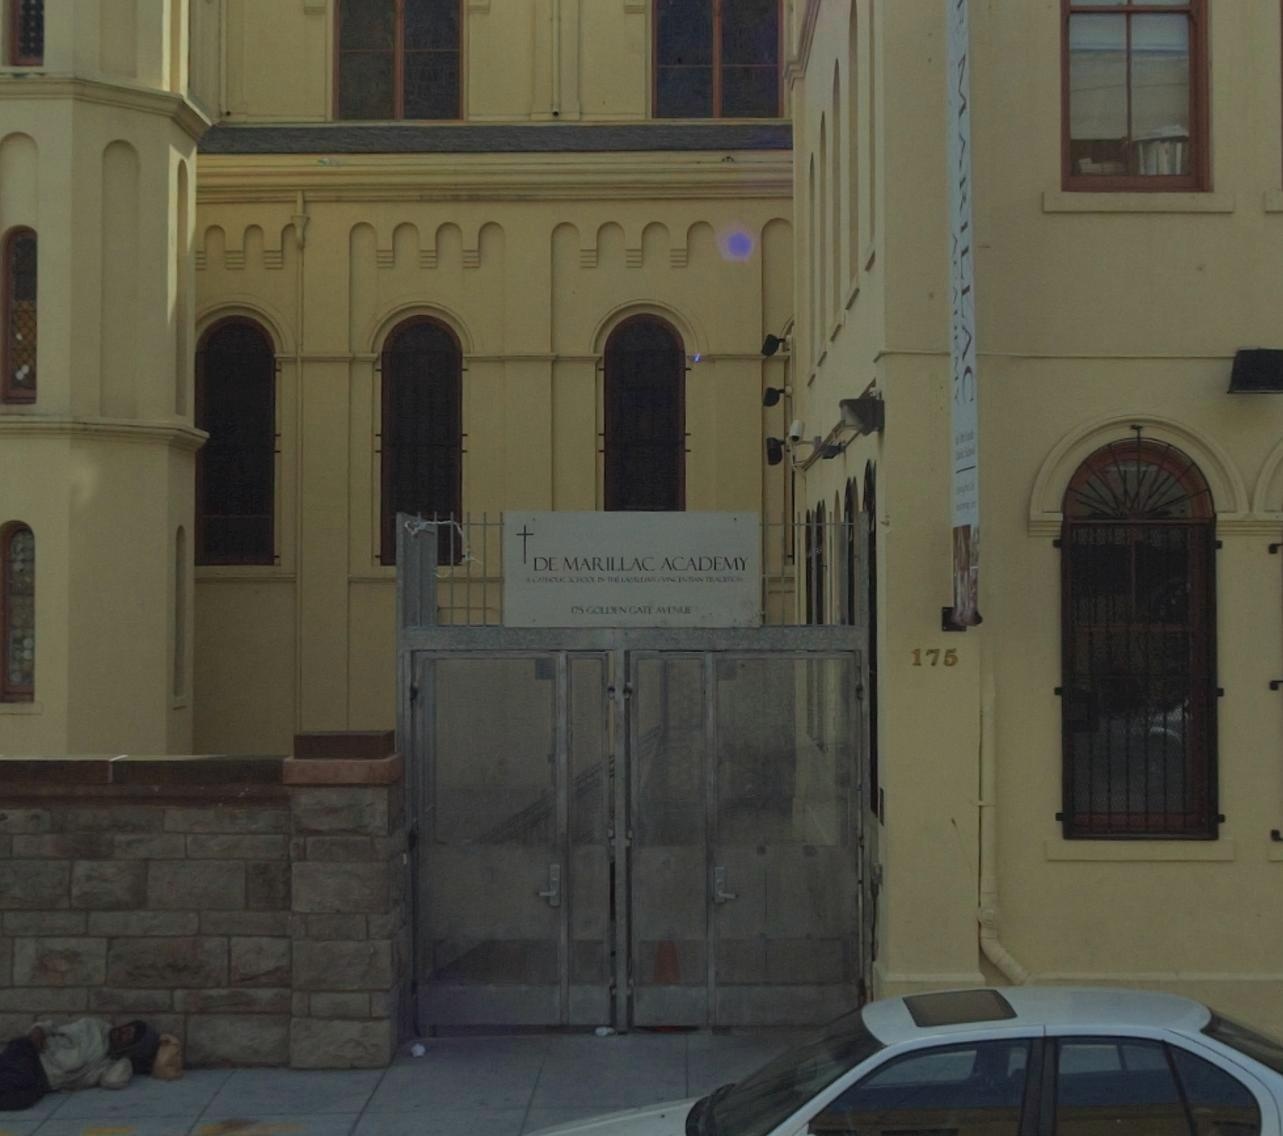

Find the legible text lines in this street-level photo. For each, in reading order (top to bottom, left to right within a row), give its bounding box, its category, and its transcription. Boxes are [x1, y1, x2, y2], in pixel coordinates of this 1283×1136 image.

[950, 45, 976, 419] BusinessName: MARILLAC
[530, 553, 750, 573] BusinessName: DE MARILLAC ACADEMY
[566, 603, 587, 618] StreetNumber: 175
[584, 602, 694, 618] StreetName: GOLDEN GATE AVENUE
[908, 645, 961, 670] StreetNumber: 175